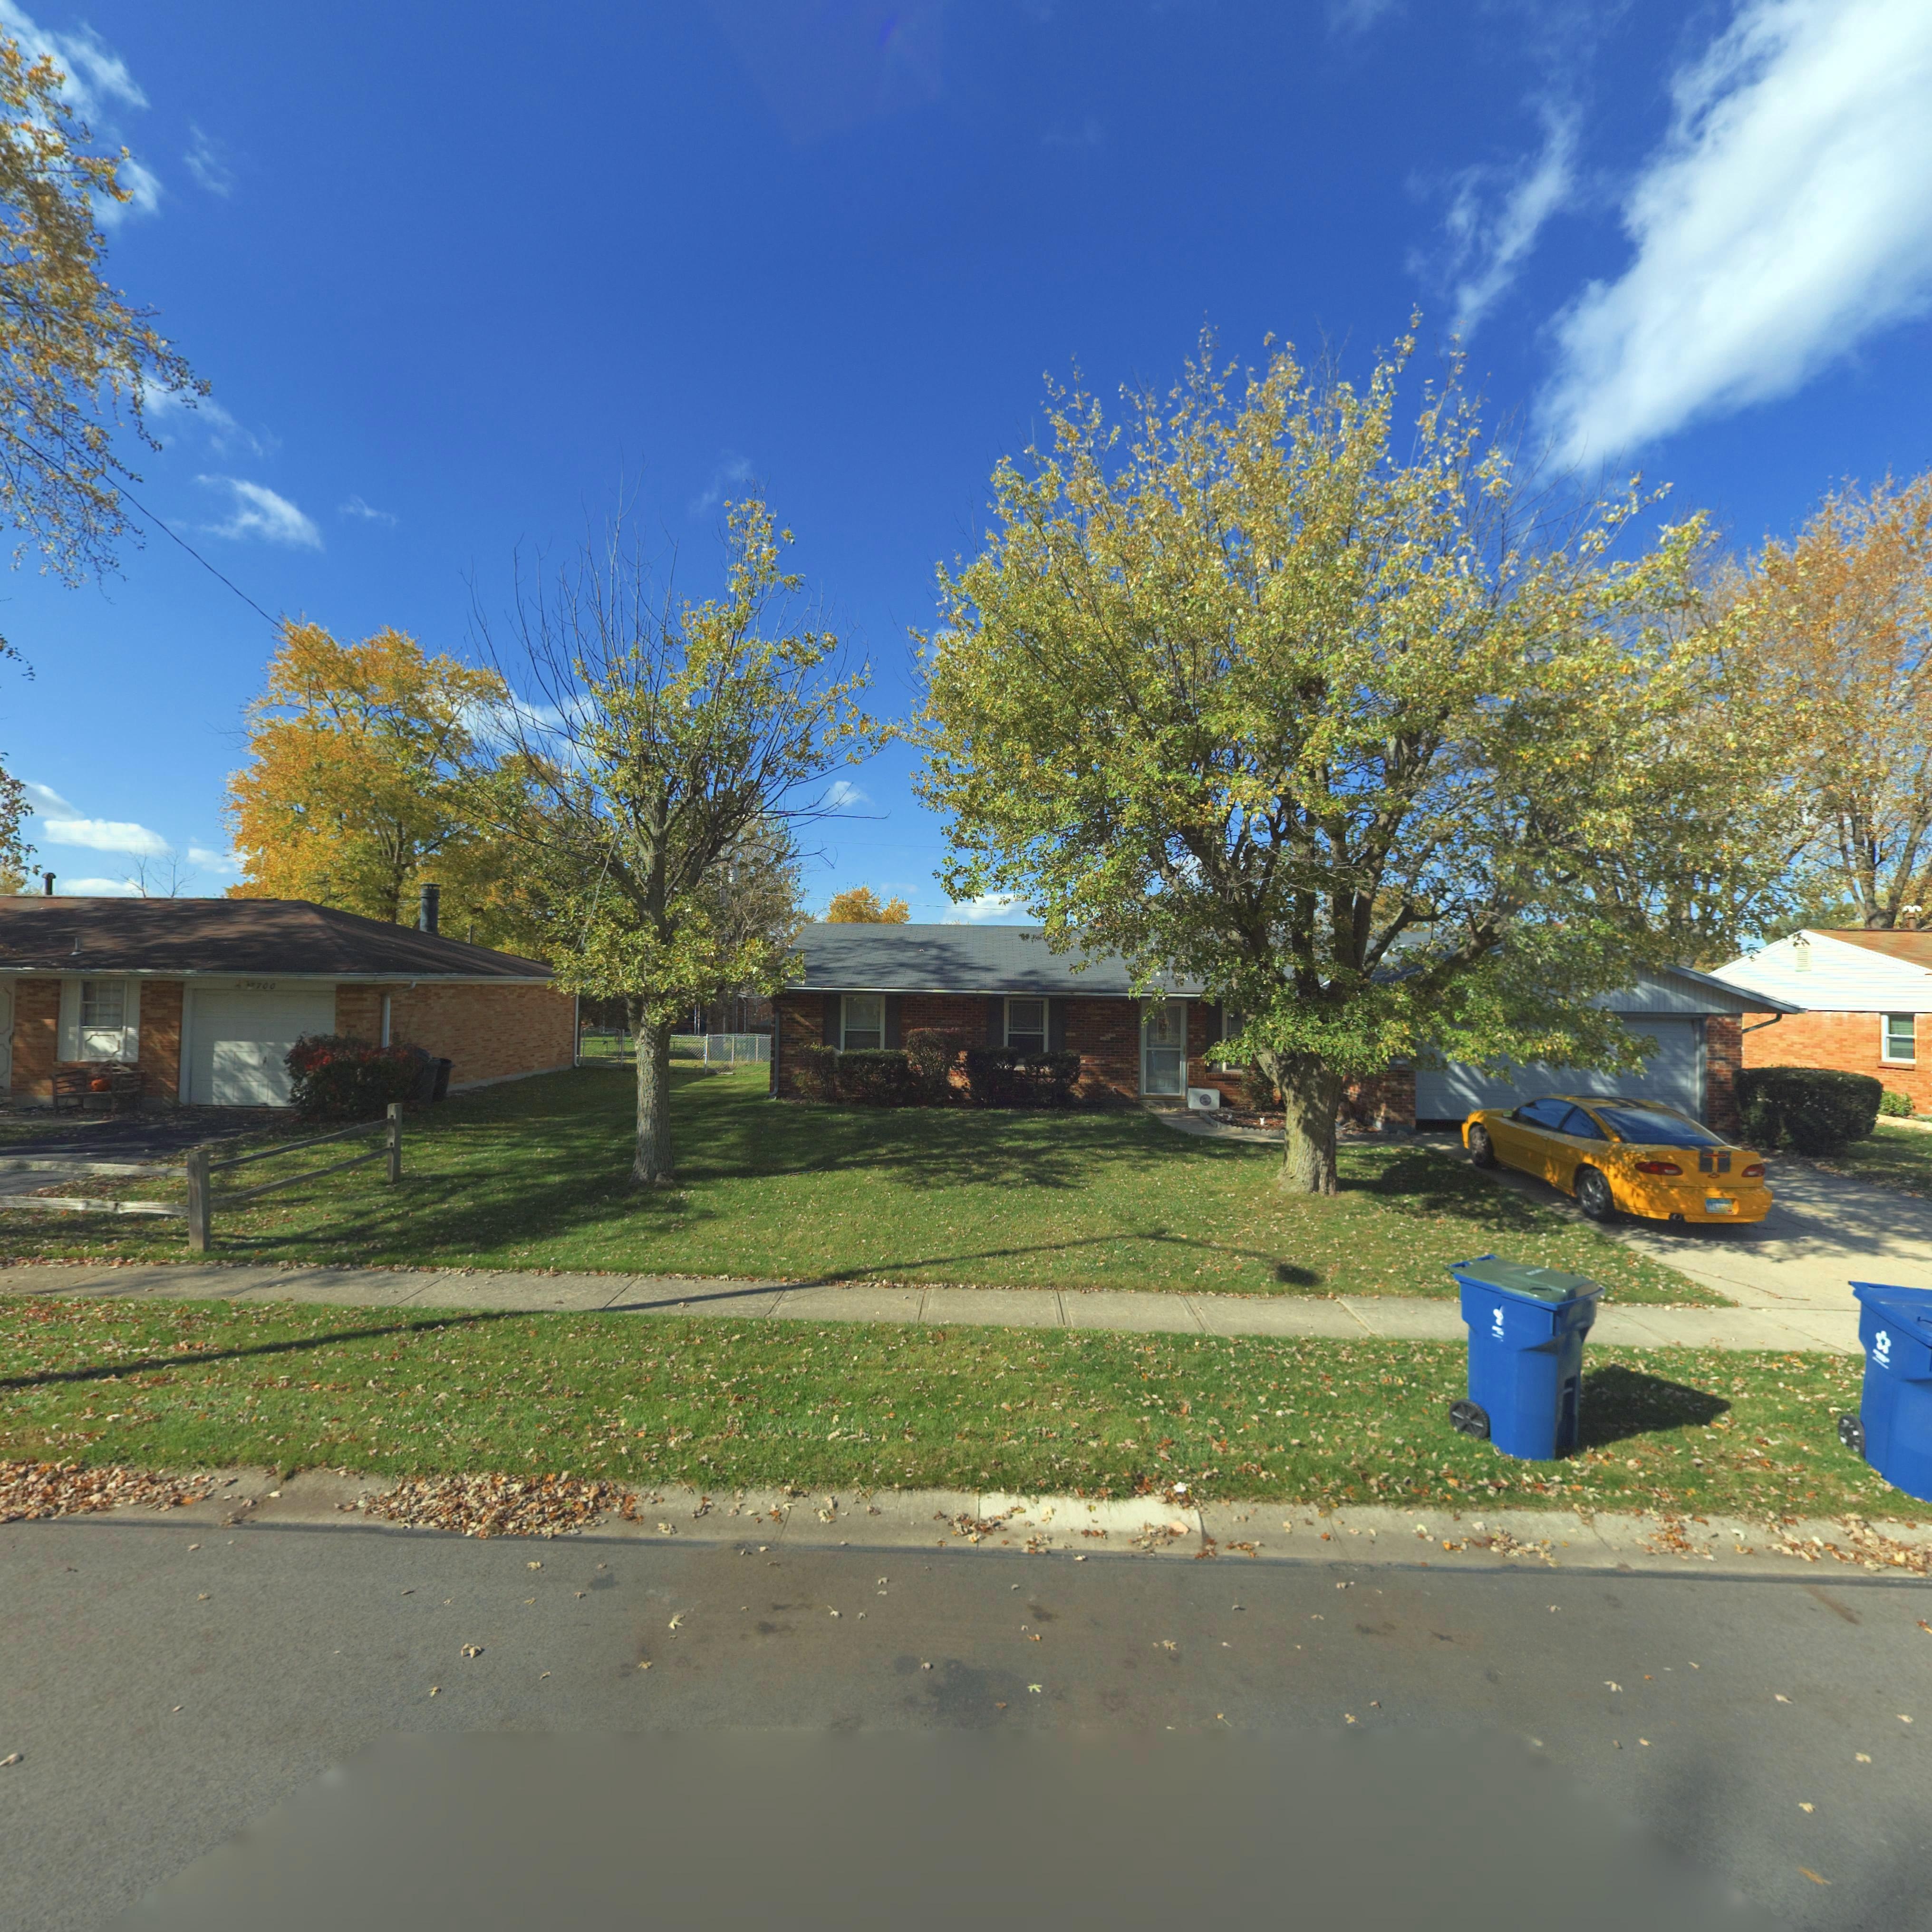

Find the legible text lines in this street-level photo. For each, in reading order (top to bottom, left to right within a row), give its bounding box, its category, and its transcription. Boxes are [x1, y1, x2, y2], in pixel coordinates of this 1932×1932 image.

[255, 982, 277, 991] StreetNumber: 700